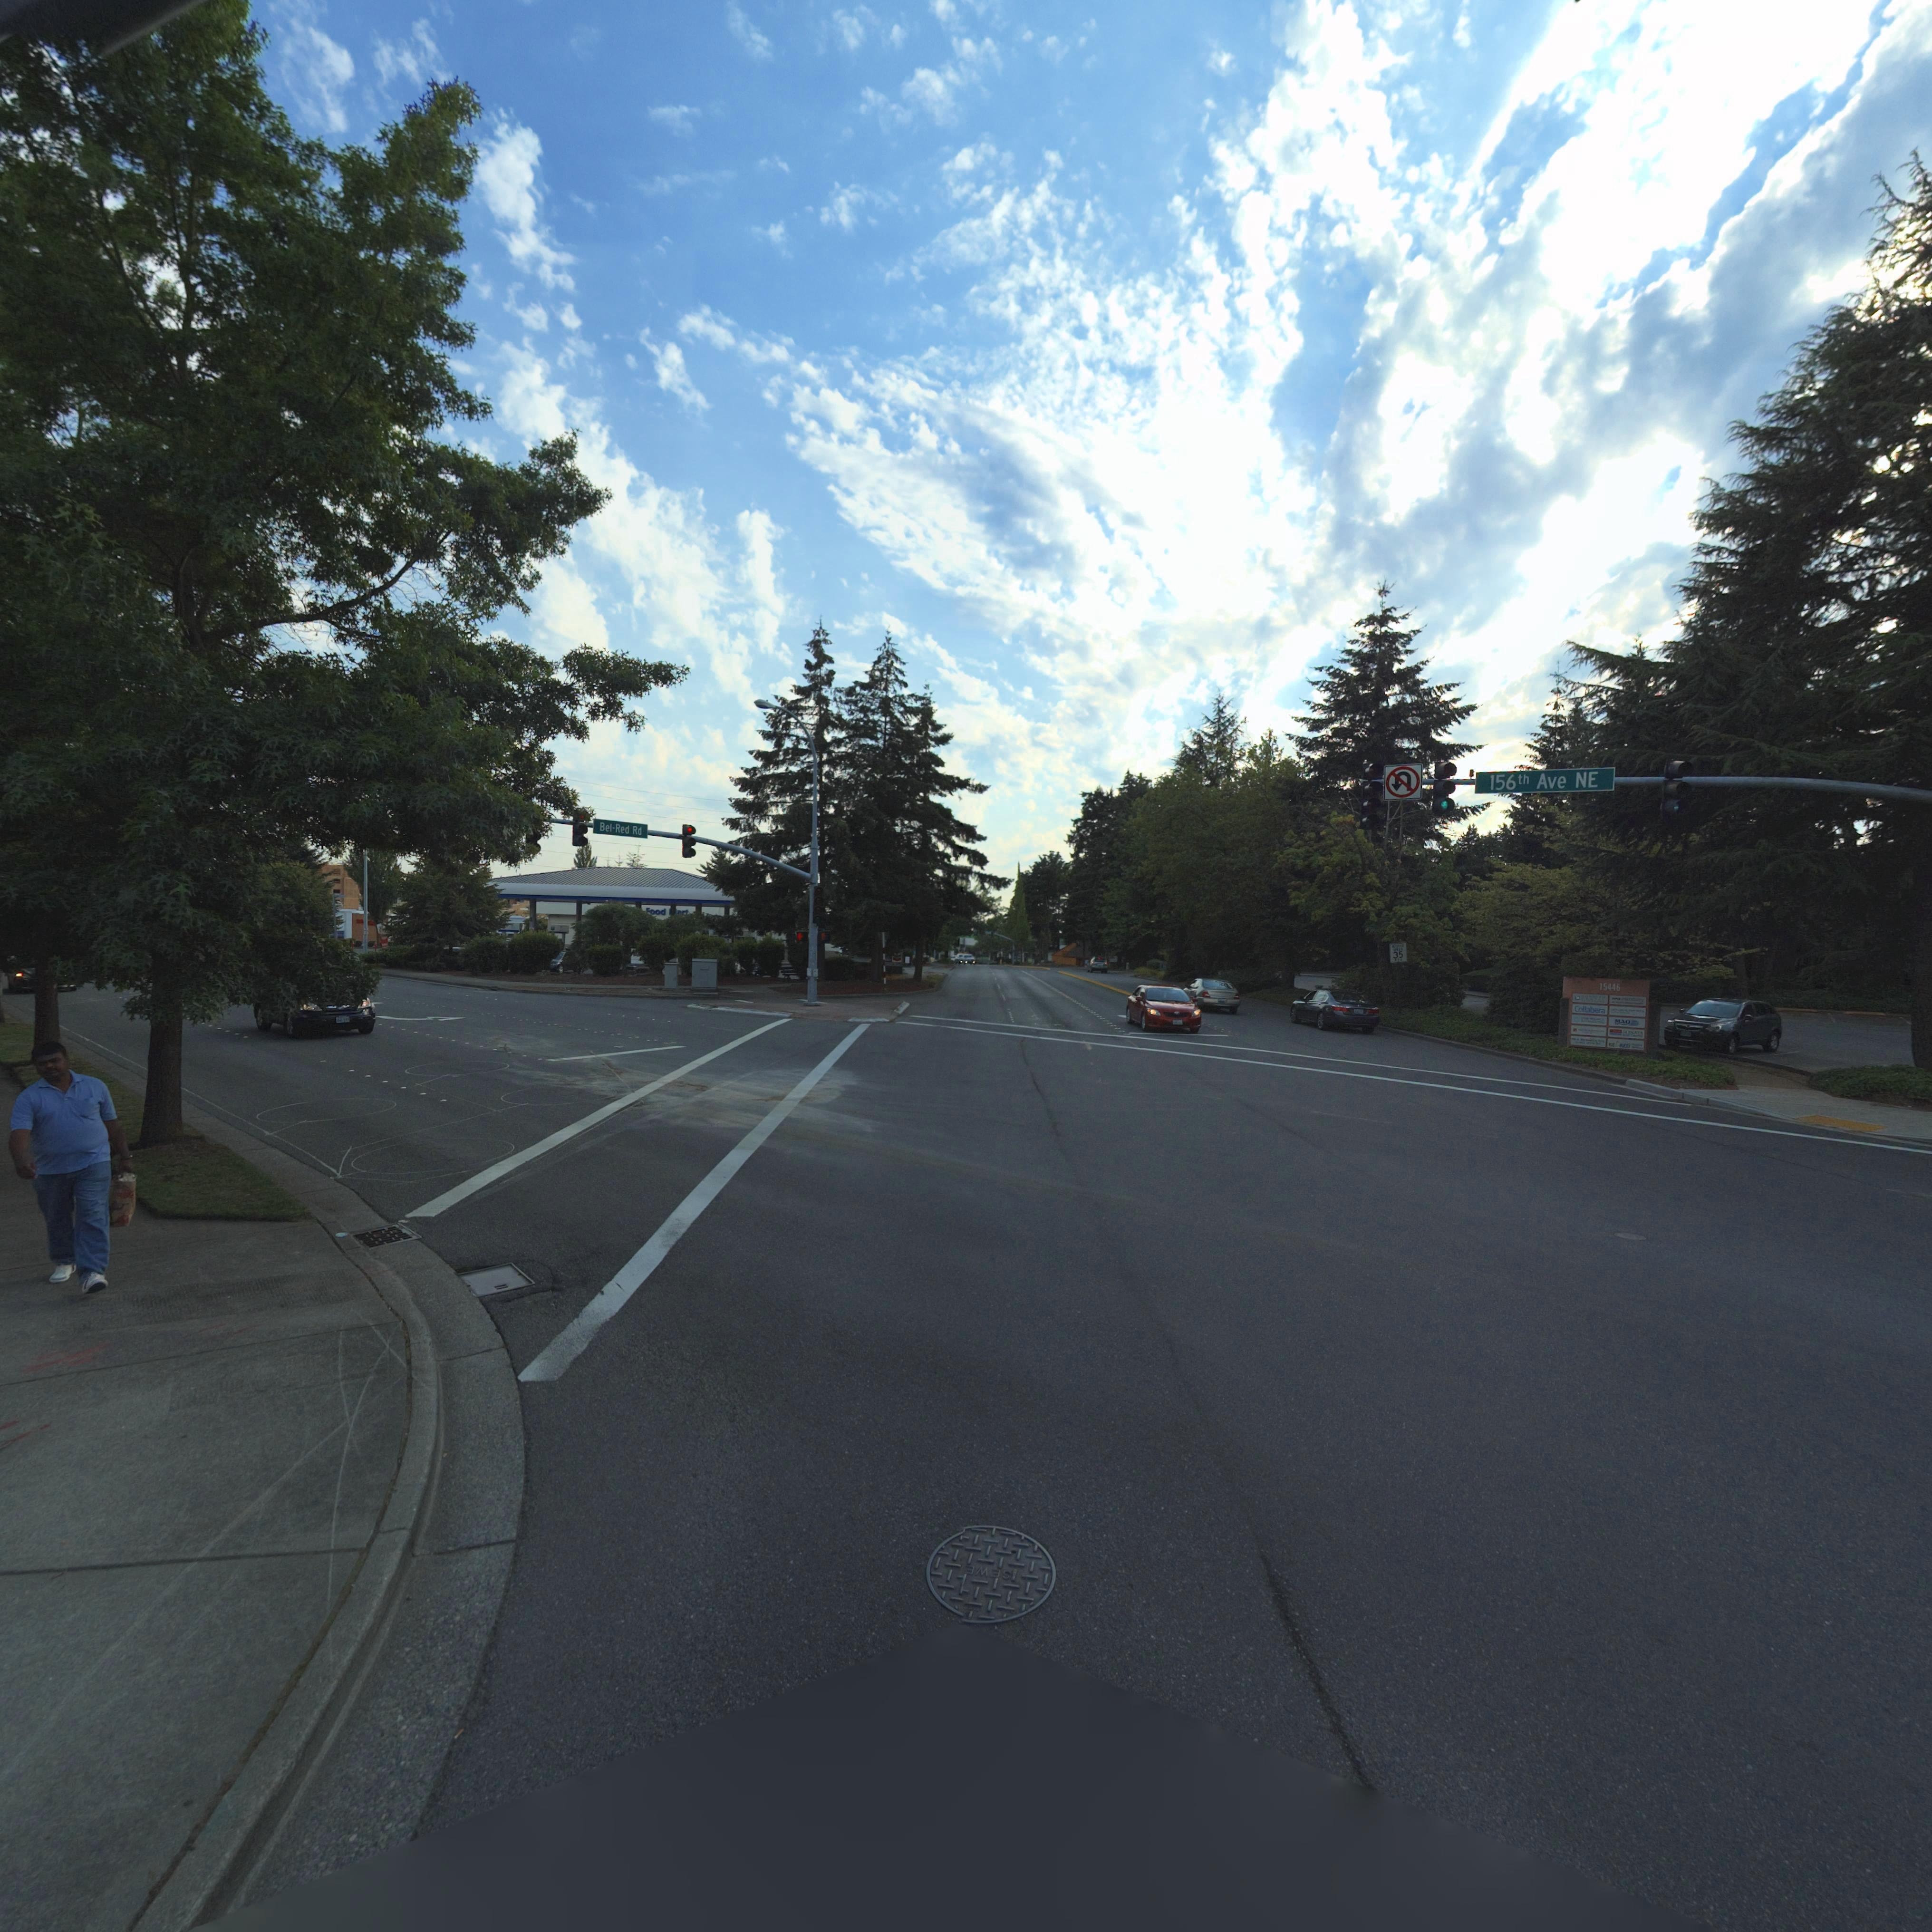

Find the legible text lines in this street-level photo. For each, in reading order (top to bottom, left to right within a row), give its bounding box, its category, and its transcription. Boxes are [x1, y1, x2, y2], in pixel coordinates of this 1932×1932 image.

[1486, 771, 1603, 792] StreetName: 156** Ave NE
[599, 821, 642, 836] StreetName: Bel*Red Rd
[645, 908, 667, 916] BusinessName: Food
[1599, 983, 1621, 991] StreetNumber: 15446